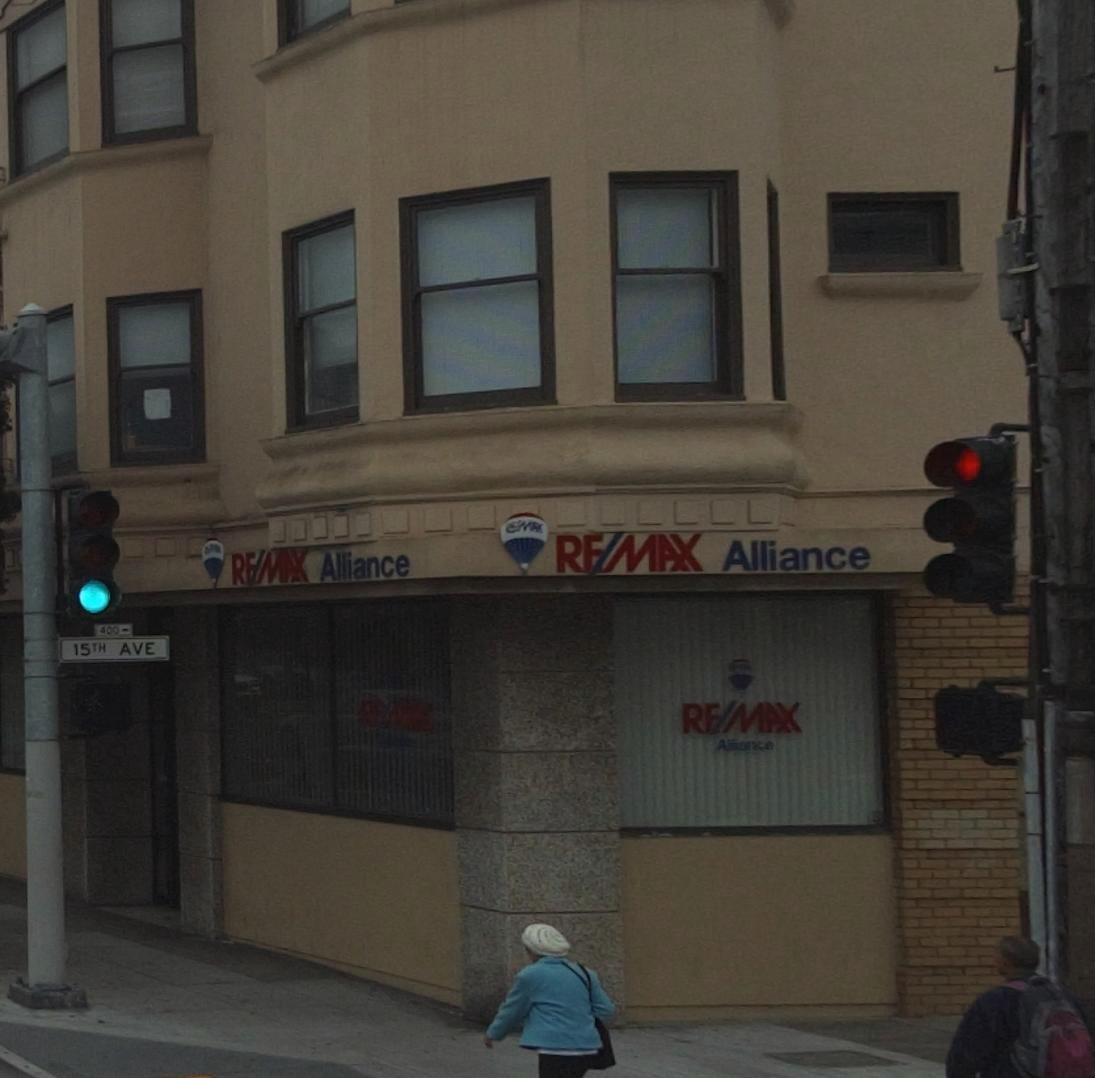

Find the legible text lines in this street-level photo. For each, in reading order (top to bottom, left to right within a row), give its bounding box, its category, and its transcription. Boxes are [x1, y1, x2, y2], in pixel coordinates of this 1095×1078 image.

[229, 544, 414, 589] BusinessName: REMAX Alliance
[554, 530, 875, 576] BusinessName: REMAX Alliance
[98, 625, 121, 636] StreetNumber: 400
[72, 641, 157, 657] StreetName: 15TH AVE
[679, 699, 806, 737] BusinessName: REMAX